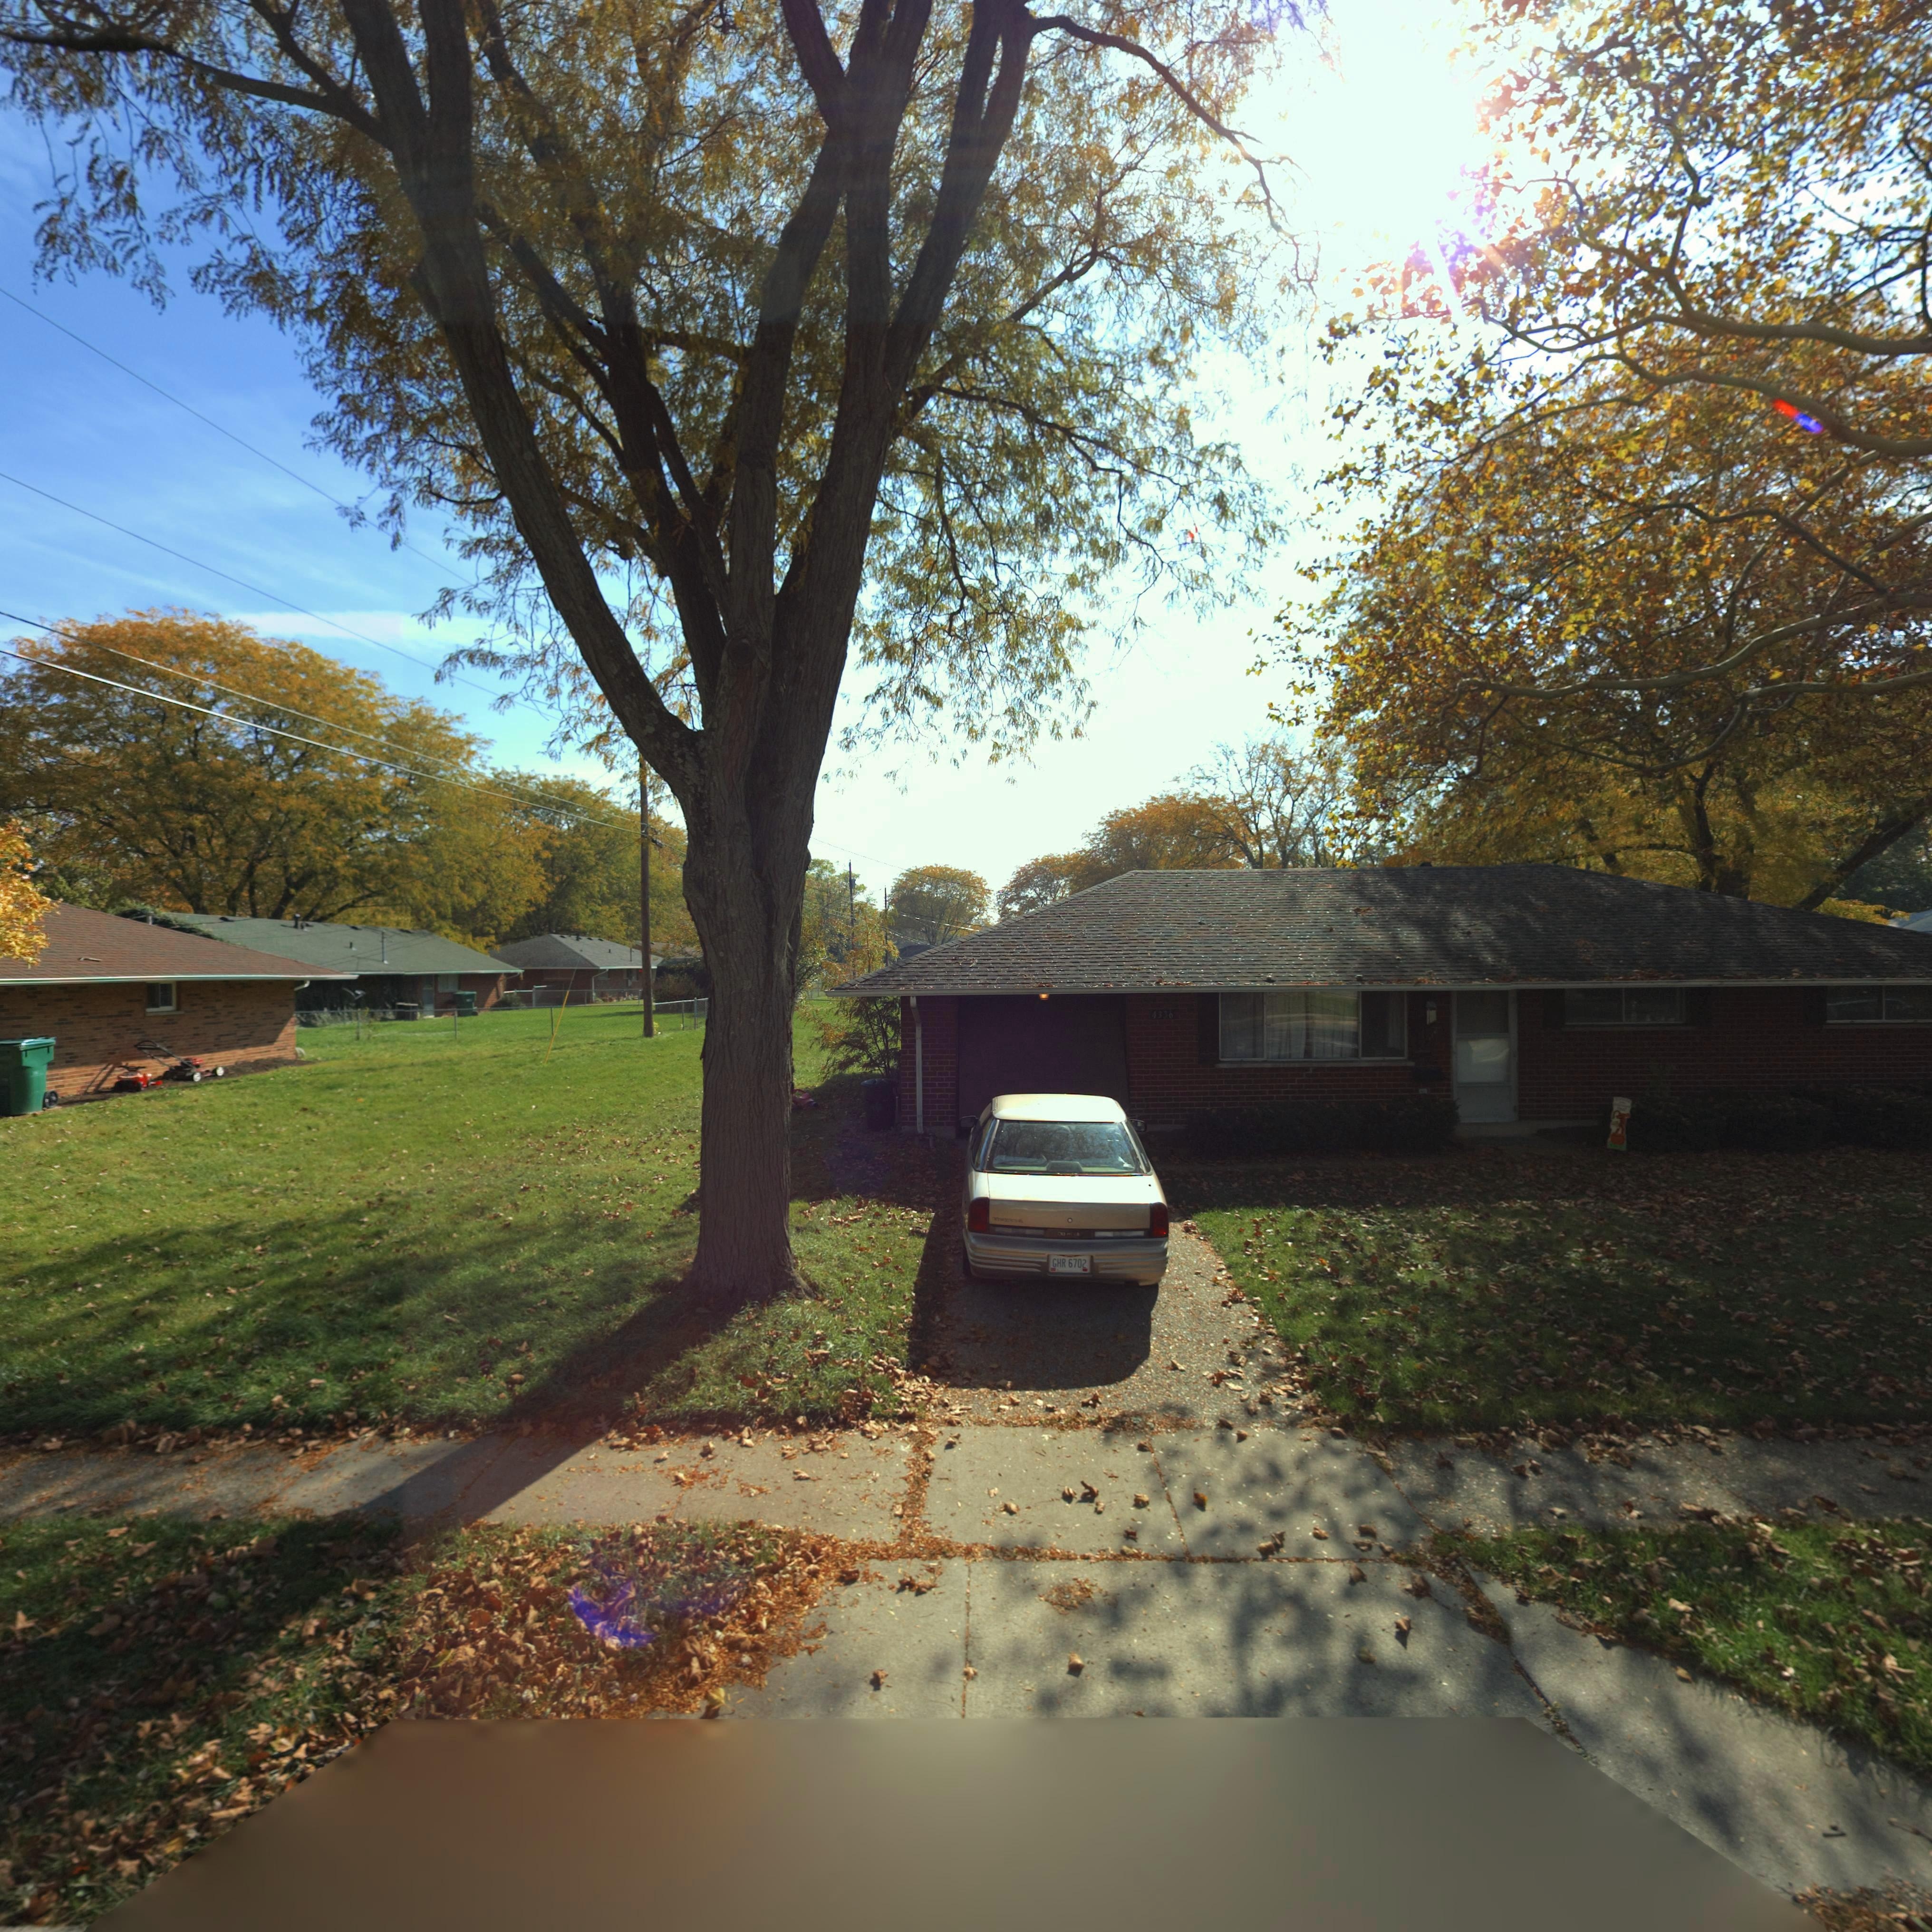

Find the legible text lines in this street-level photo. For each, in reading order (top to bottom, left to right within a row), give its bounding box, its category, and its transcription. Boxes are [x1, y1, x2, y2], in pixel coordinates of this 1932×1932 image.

[1150, 1009, 1174, 1020] StreetNumber: 4336